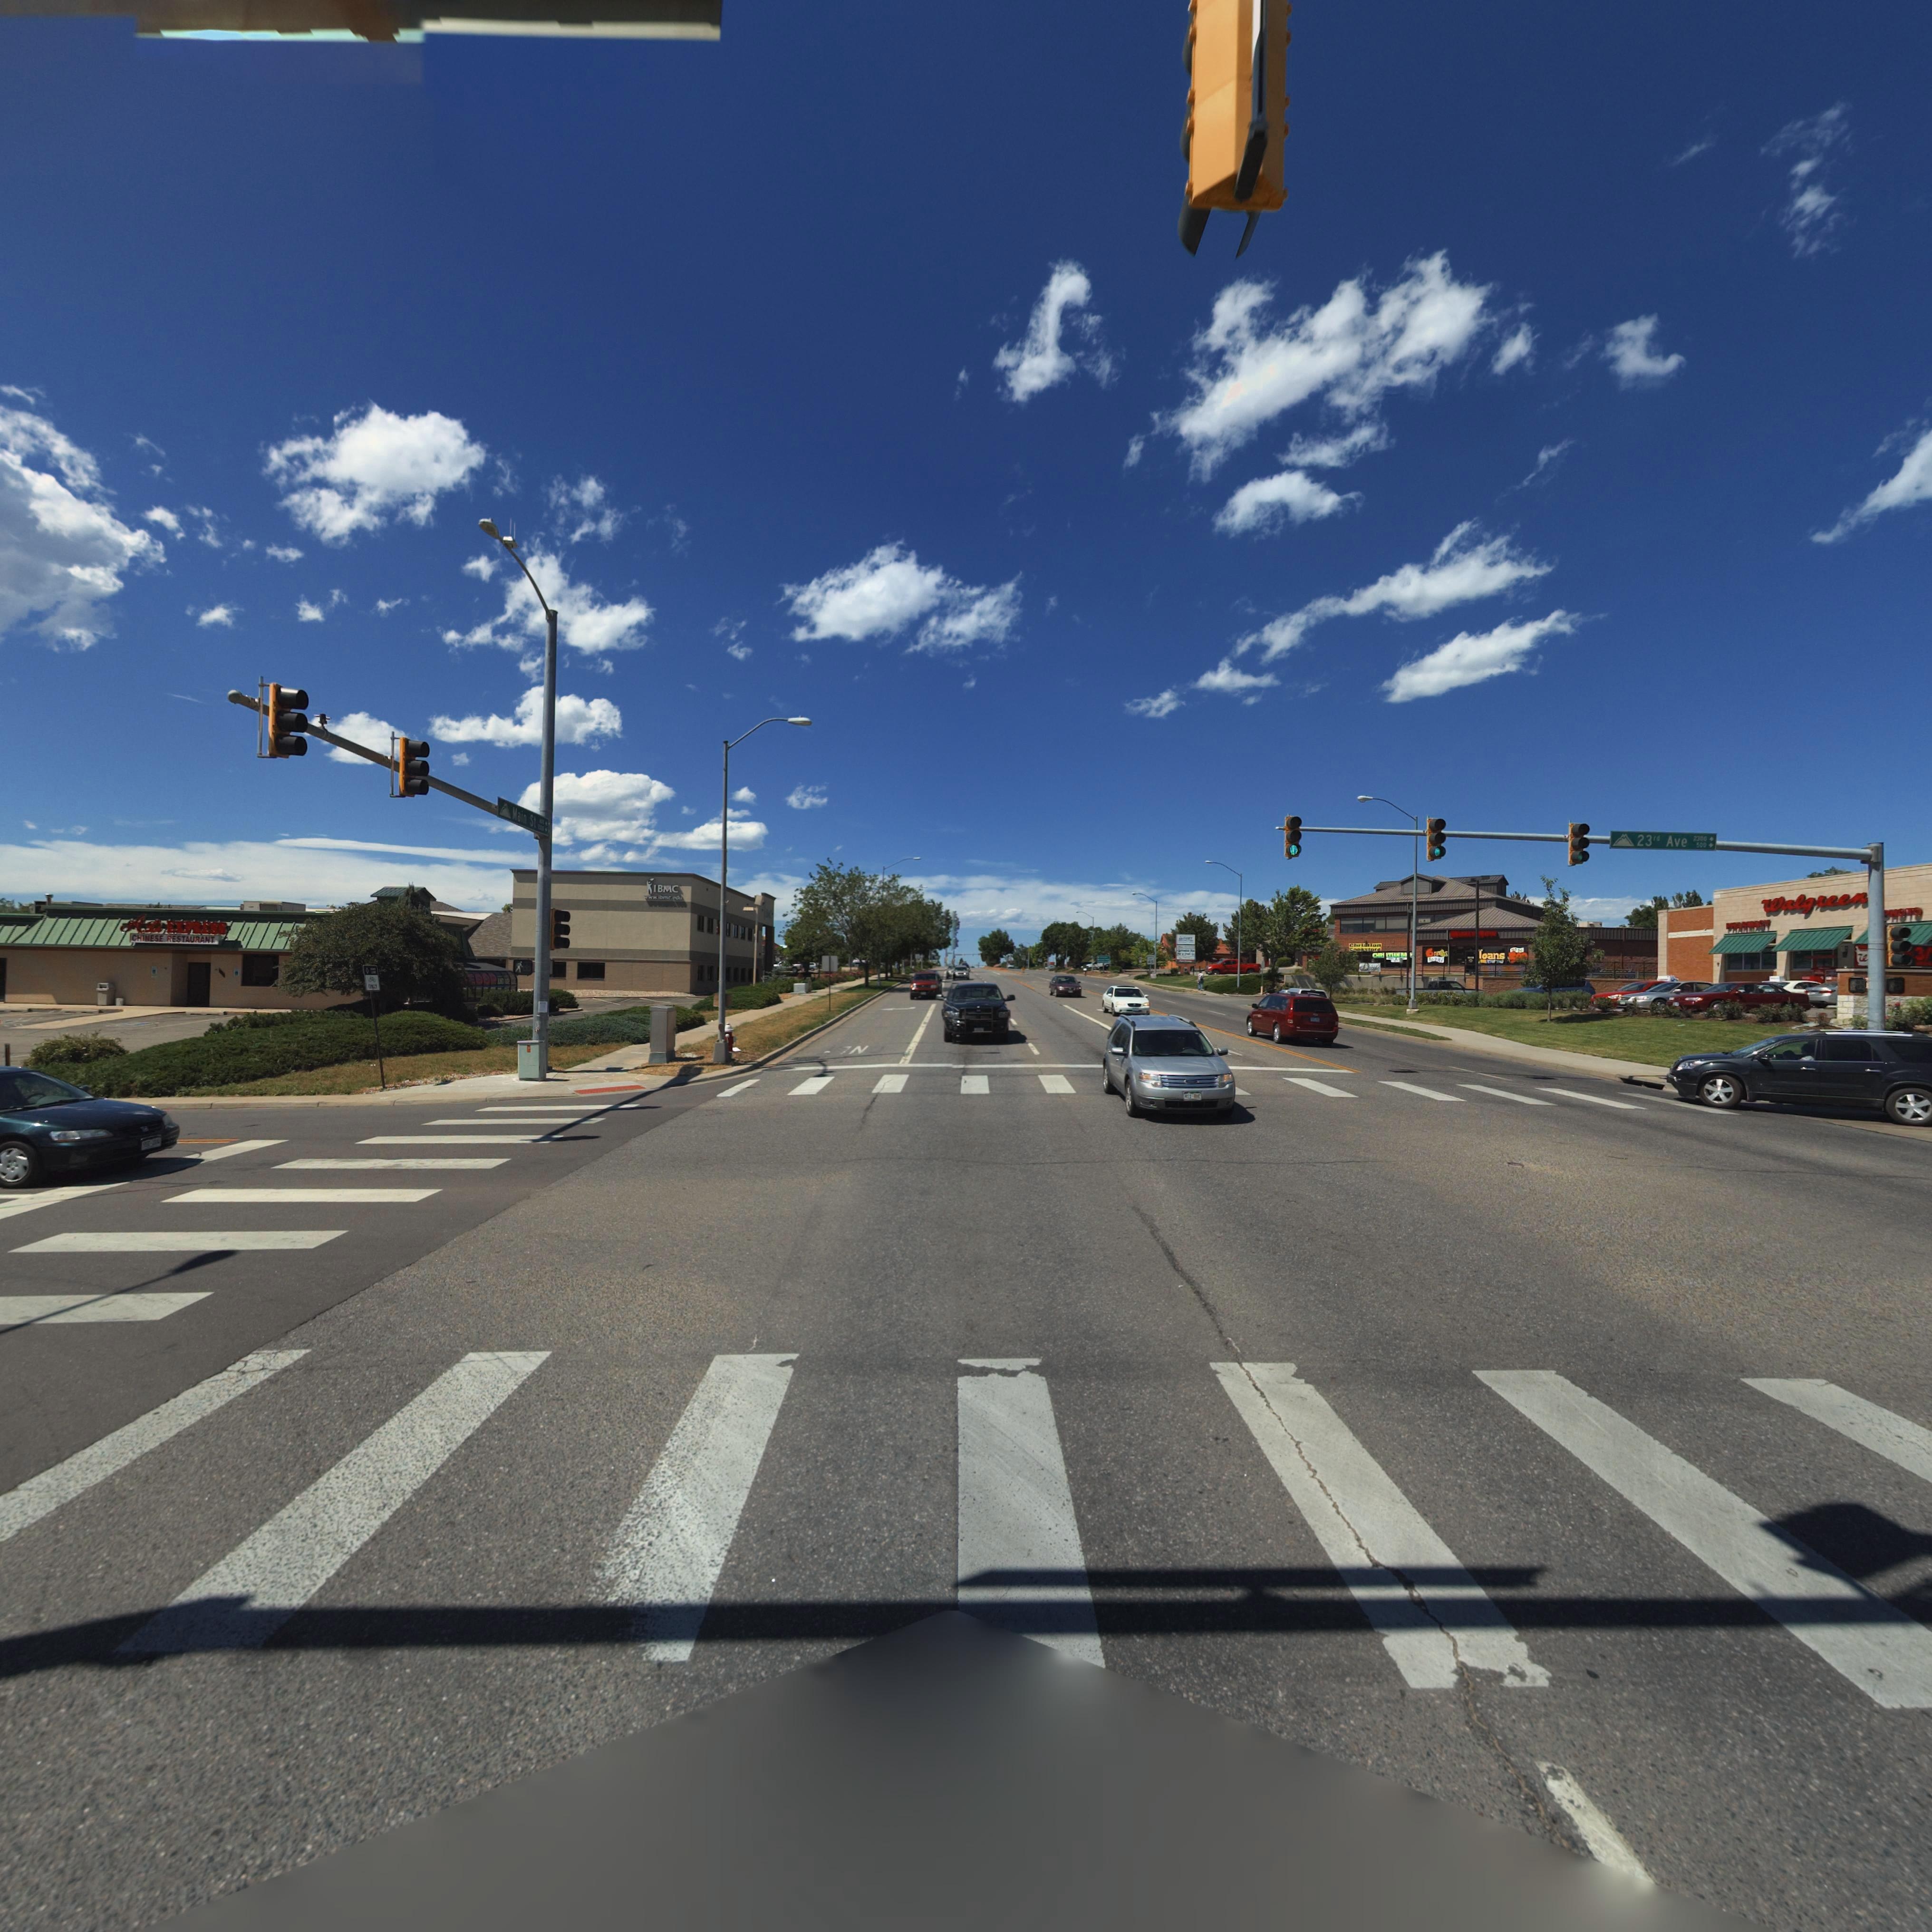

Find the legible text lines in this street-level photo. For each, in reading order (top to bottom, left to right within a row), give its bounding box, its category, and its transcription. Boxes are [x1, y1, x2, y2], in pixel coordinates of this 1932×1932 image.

[512, 806, 536, 828] StreetName: Main St
[1637, 833, 1687, 847] StreetName: 23rd Ave
[1693, 835, 1707, 841] StreetNumberRange: 2300
[1696, 842, 1713, 848] StreetNumberRange: 500 ->
[653, 884, 678, 893] BusinessName: IBMC
[1760, 891, 1869, 915] BusinessName: Walgreen
[119, 913, 226, 935] BusinessName: A L* EXP*ESS
[1450, 929, 1497, 938] BusinessName: M**** NOW